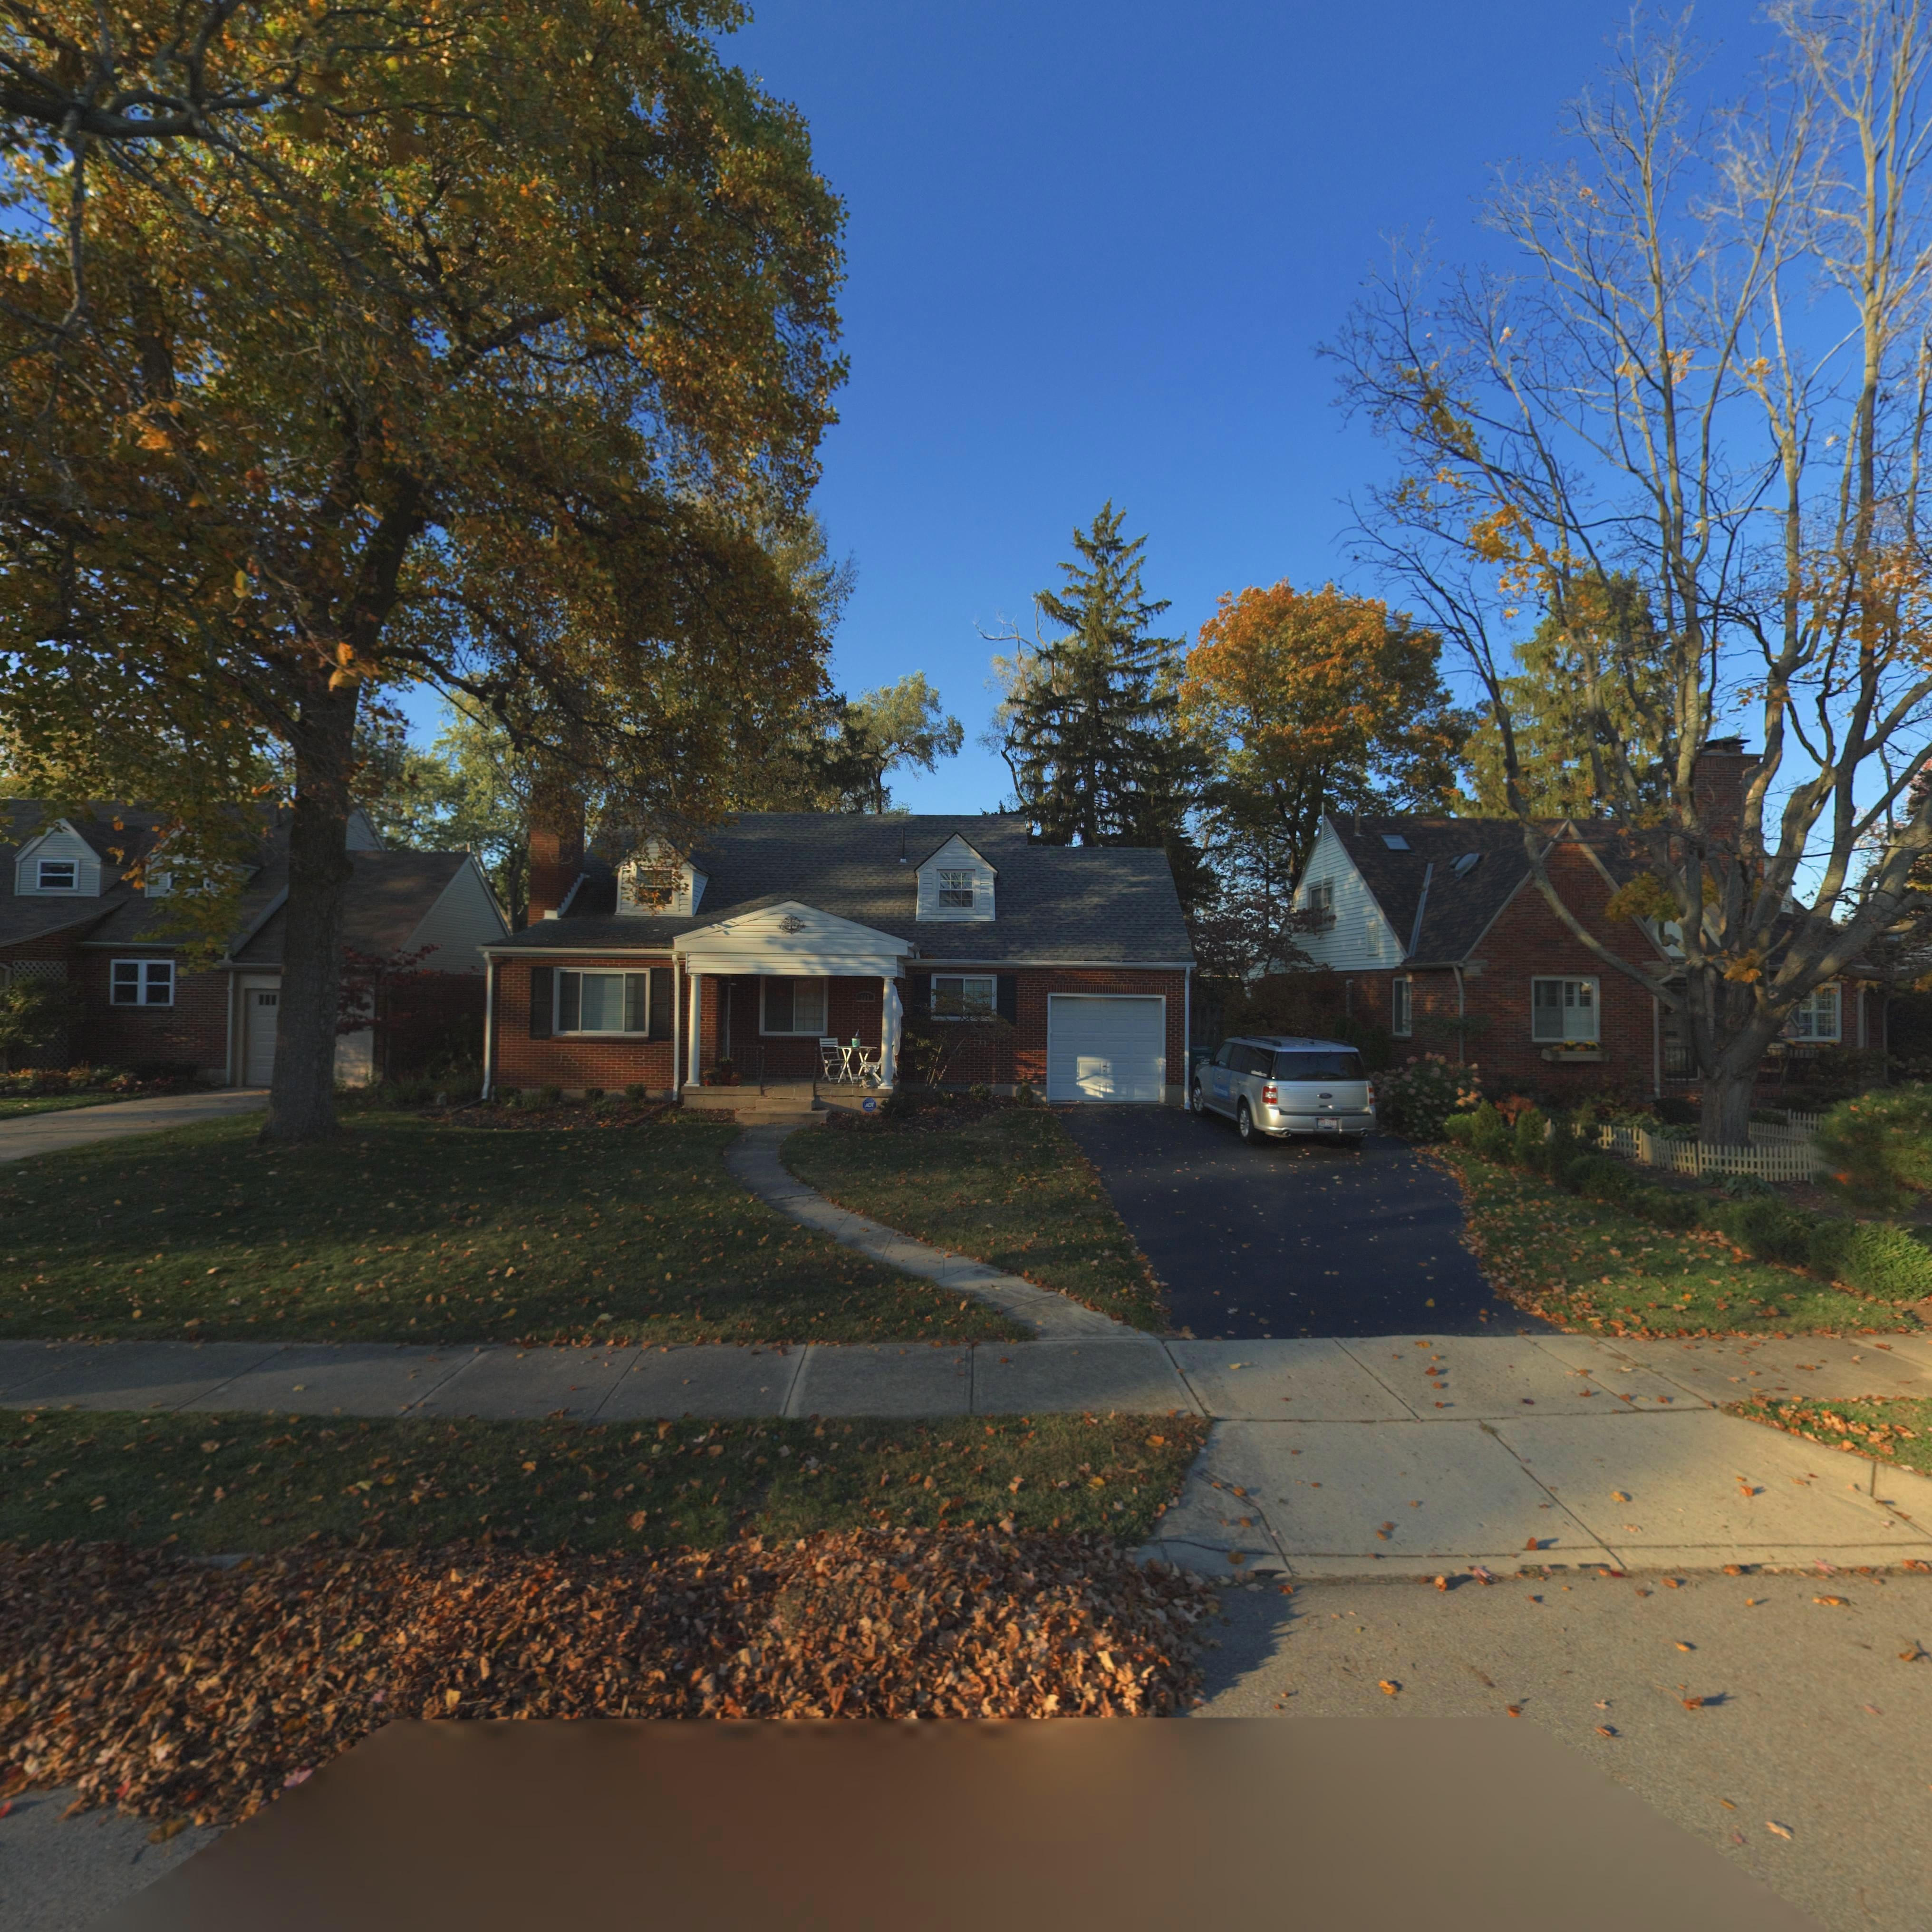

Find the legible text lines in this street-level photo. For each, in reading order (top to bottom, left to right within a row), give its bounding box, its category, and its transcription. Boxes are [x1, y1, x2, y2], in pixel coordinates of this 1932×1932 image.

[860, 994, 869, 1001] StreetNumber: 217